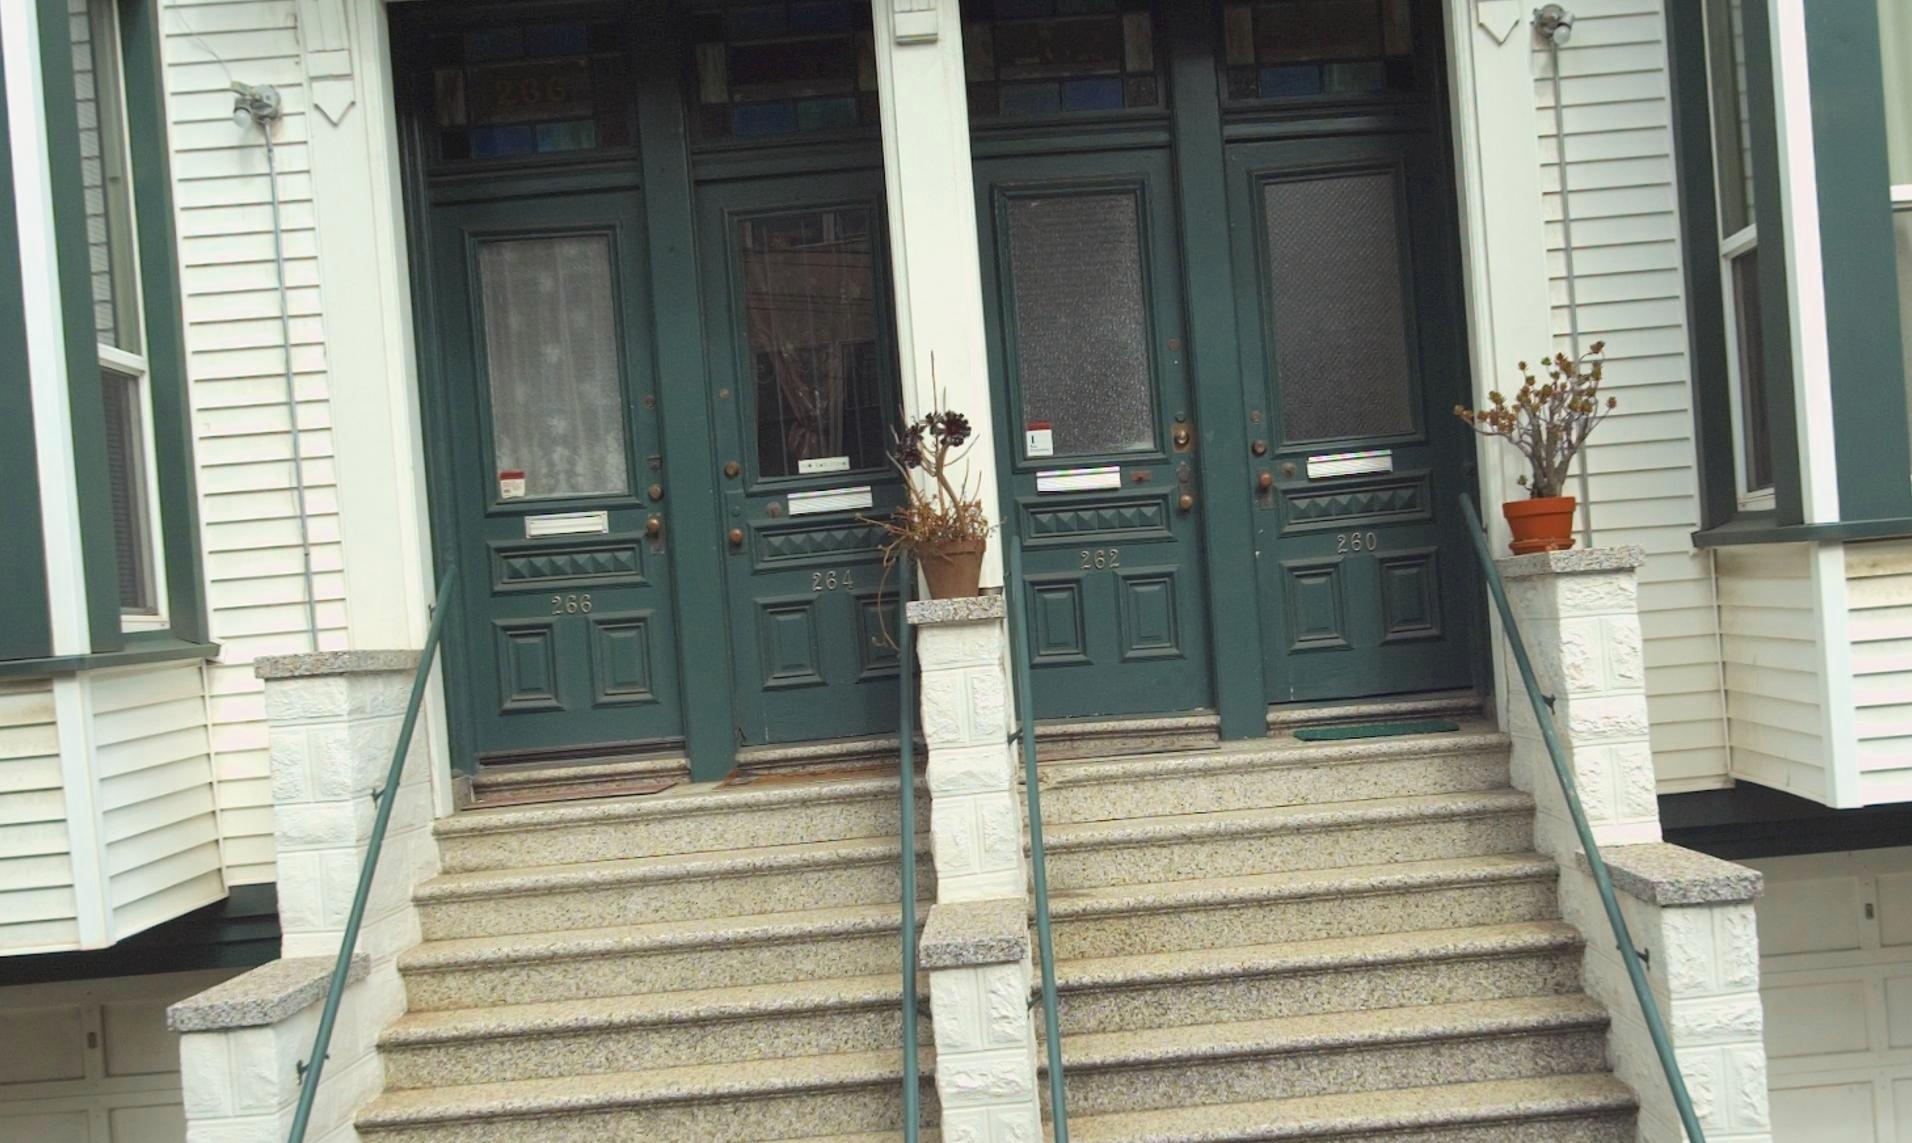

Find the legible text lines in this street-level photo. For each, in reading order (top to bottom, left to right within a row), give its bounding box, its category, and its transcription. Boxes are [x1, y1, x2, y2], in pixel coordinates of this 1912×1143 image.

[489, 68, 570, 114] StreetNumber: 266
[1334, 528, 1380, 557] StreetNumber: 260
[1077, 545, 1122, 574] StreetNumber: 262
[809, 565, 858, 595] StreetNumber: 264
[549, 590, 595, 619] StreetNumber: 266